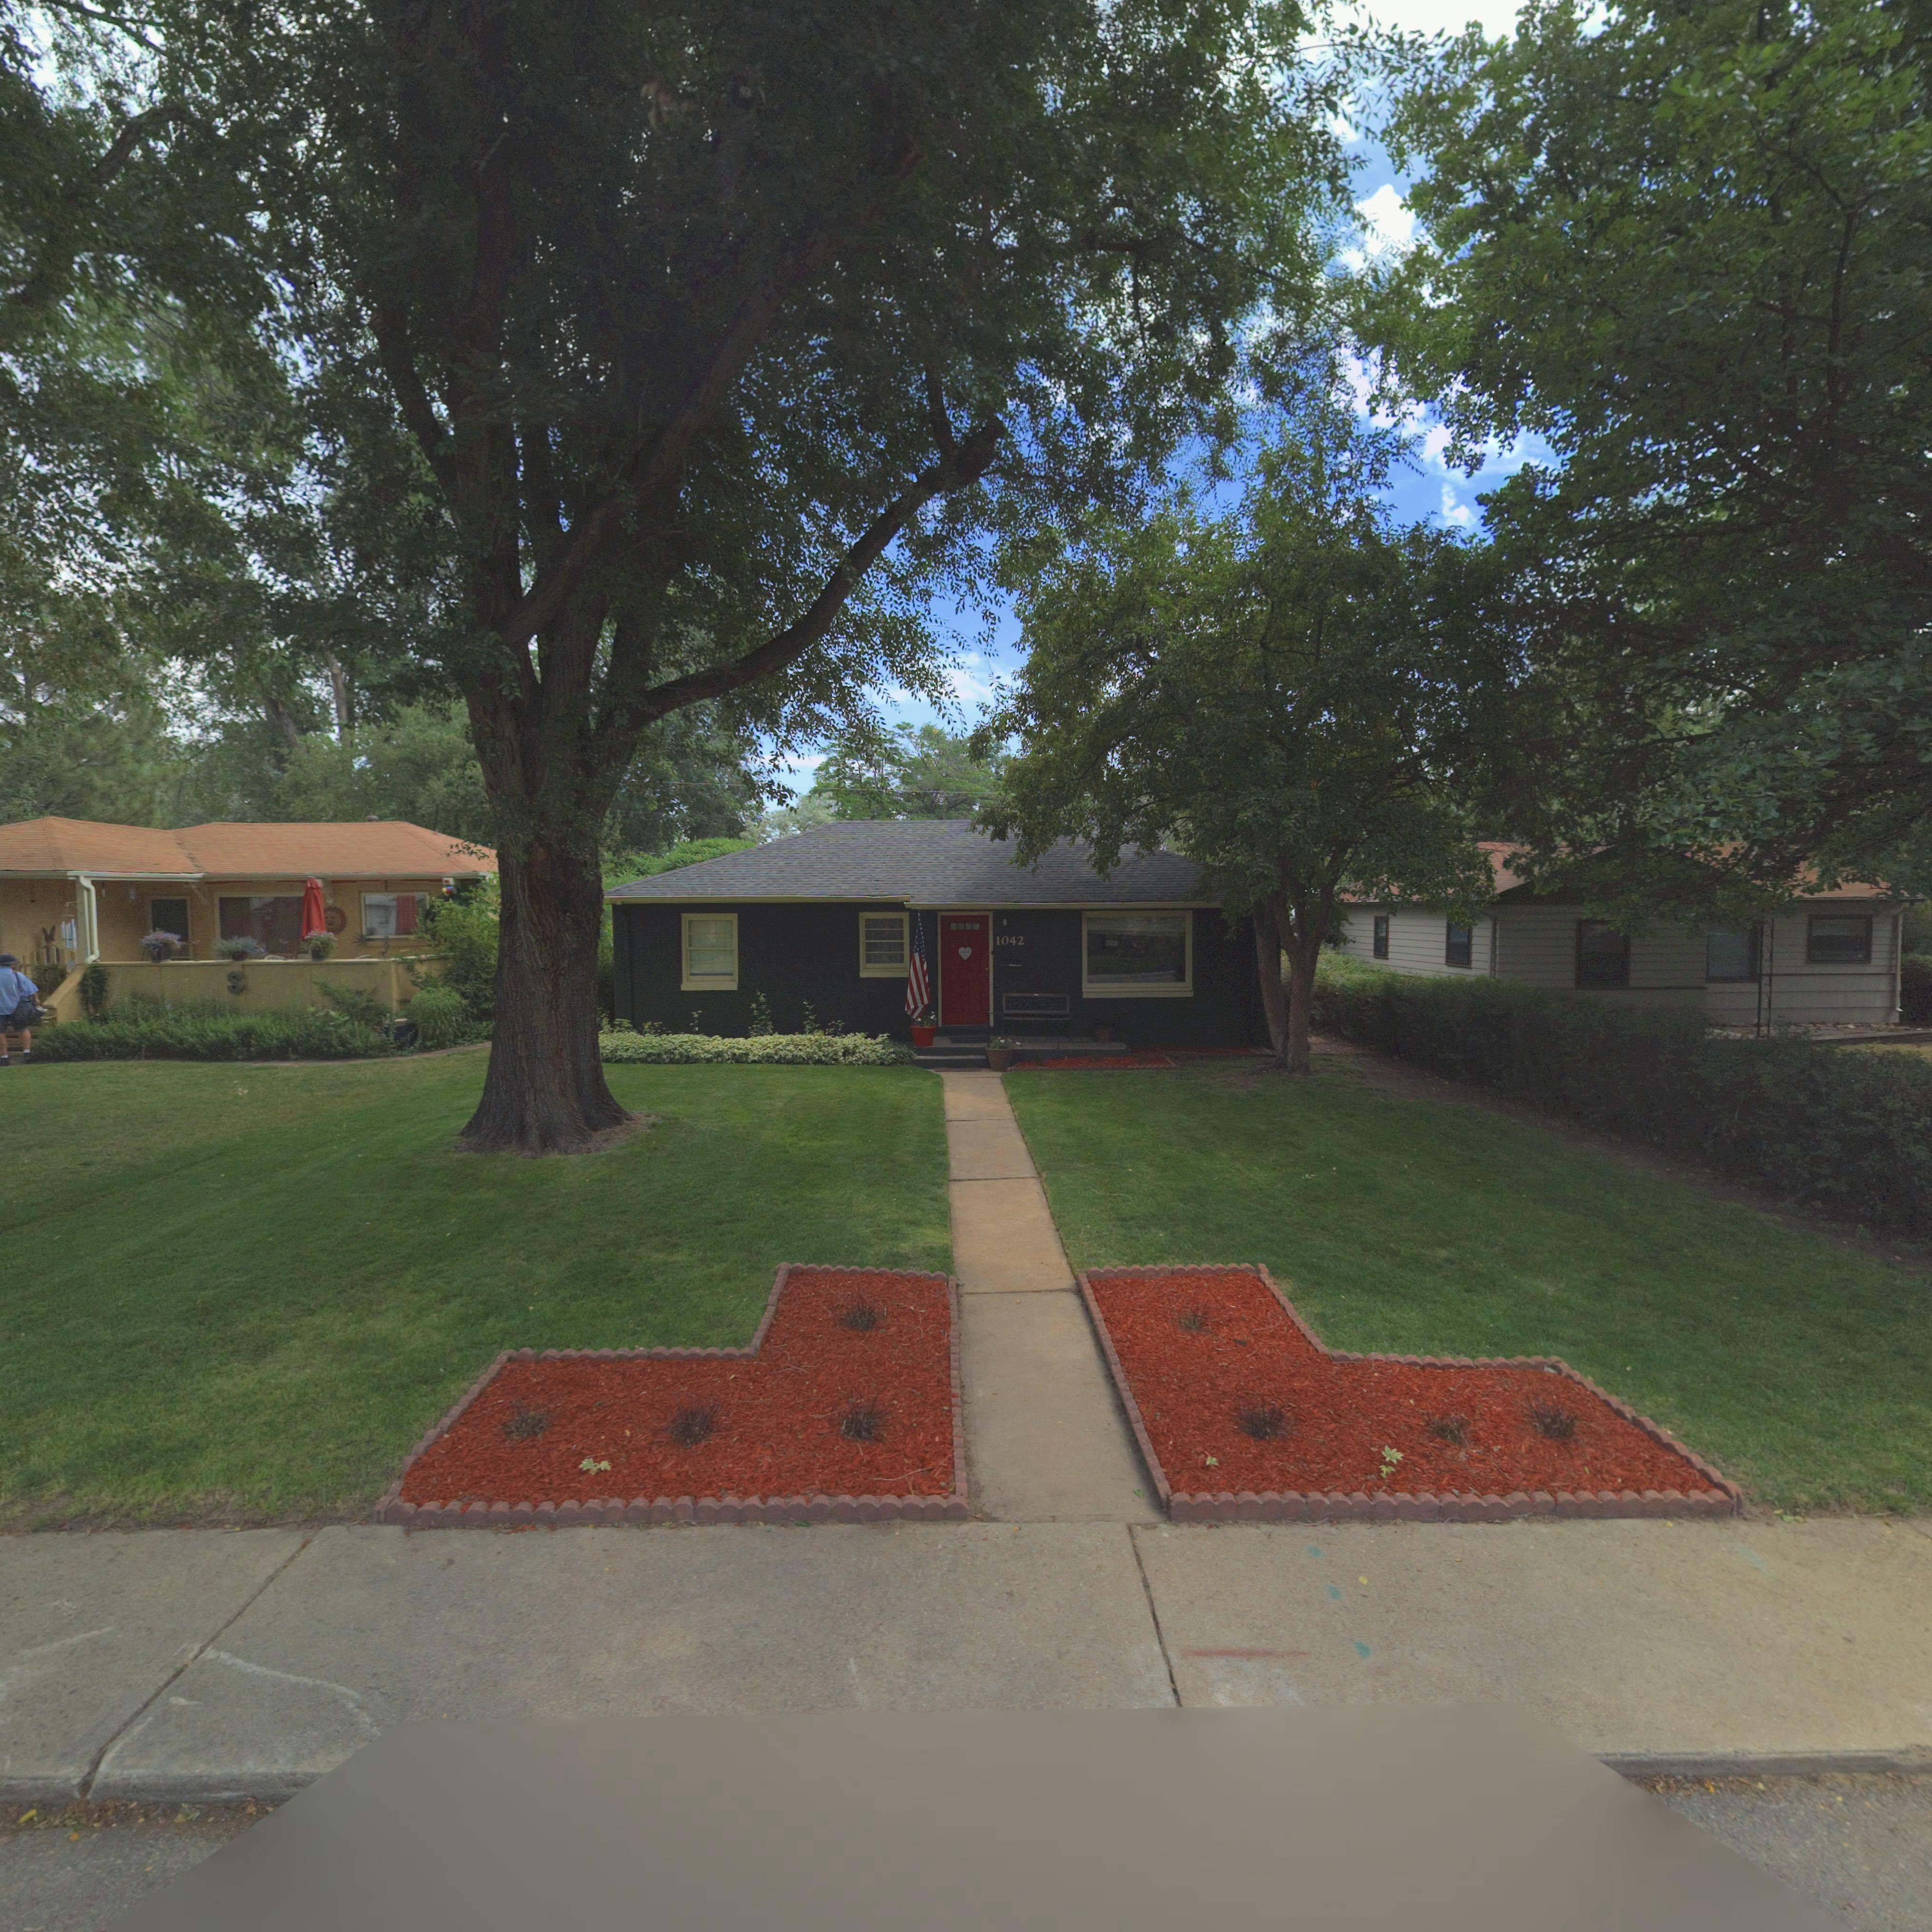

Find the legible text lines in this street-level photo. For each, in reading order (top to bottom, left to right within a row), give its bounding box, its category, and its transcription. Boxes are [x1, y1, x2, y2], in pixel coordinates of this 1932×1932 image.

[995, 936, 1024, 945] StreetNumber: 1042